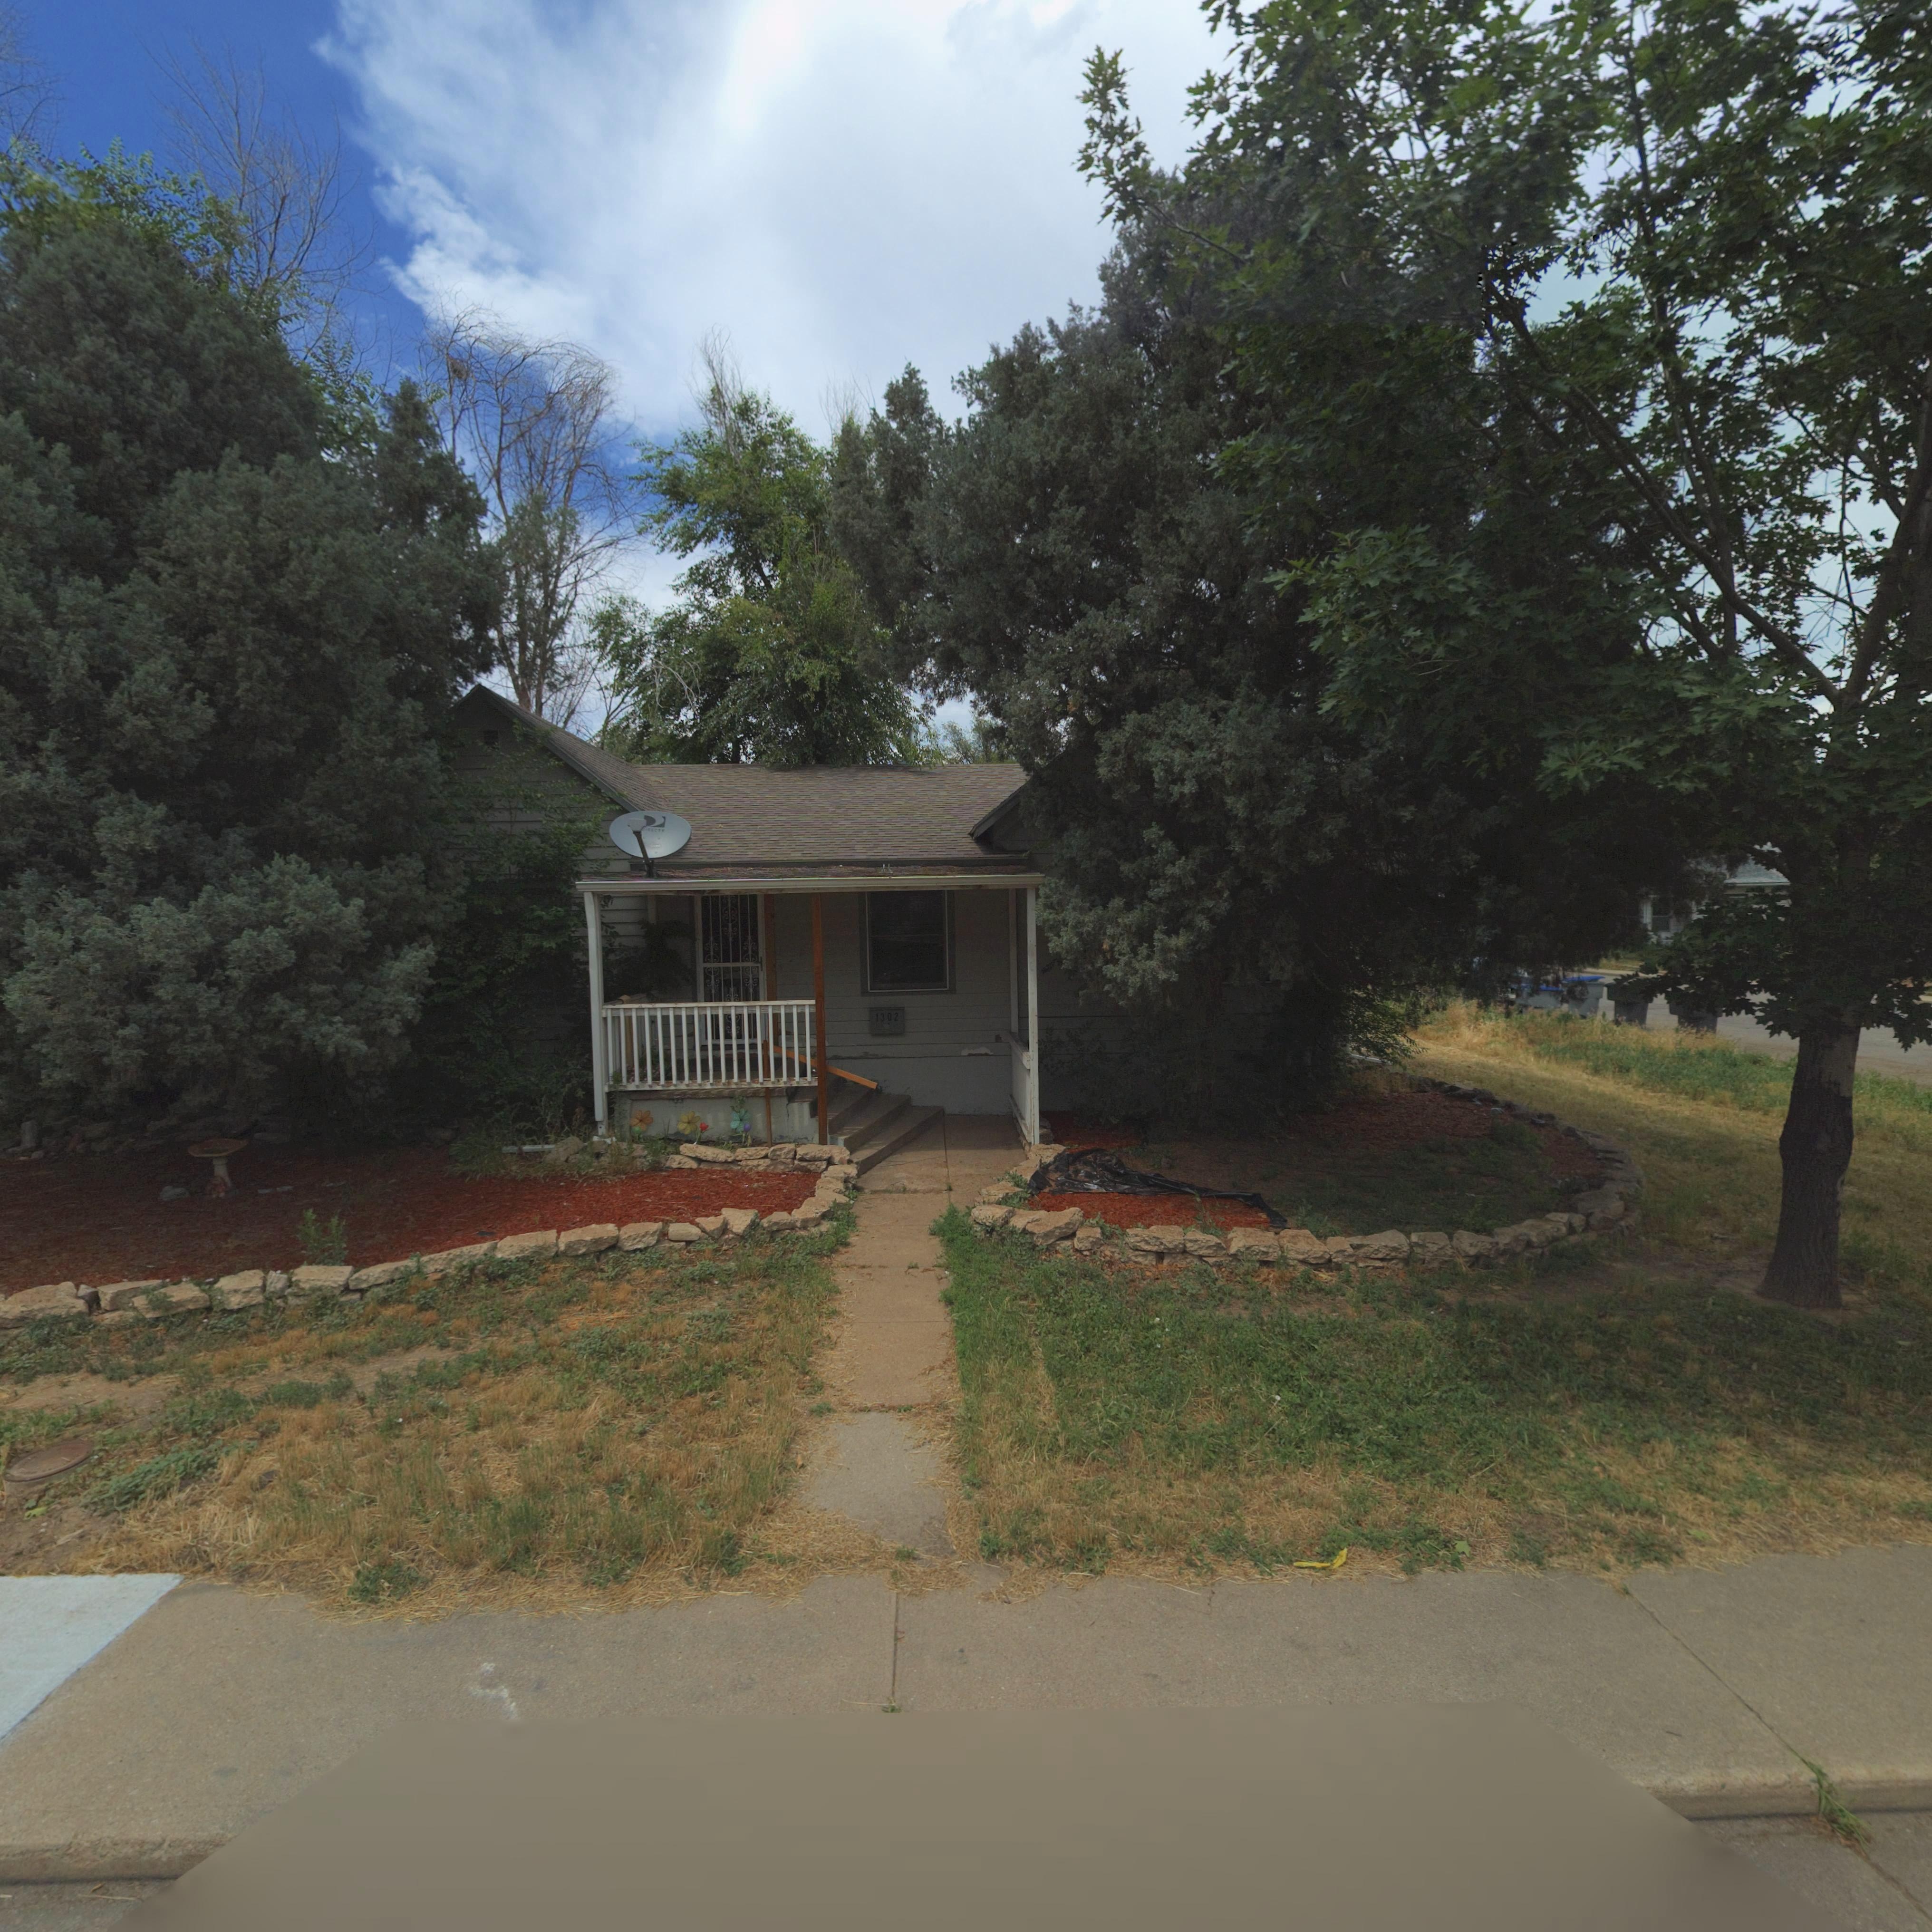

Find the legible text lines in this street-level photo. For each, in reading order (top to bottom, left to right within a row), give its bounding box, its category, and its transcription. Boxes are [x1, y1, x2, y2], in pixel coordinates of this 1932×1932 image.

[875, 1012, 899, 1023] StreetNumber: 1302